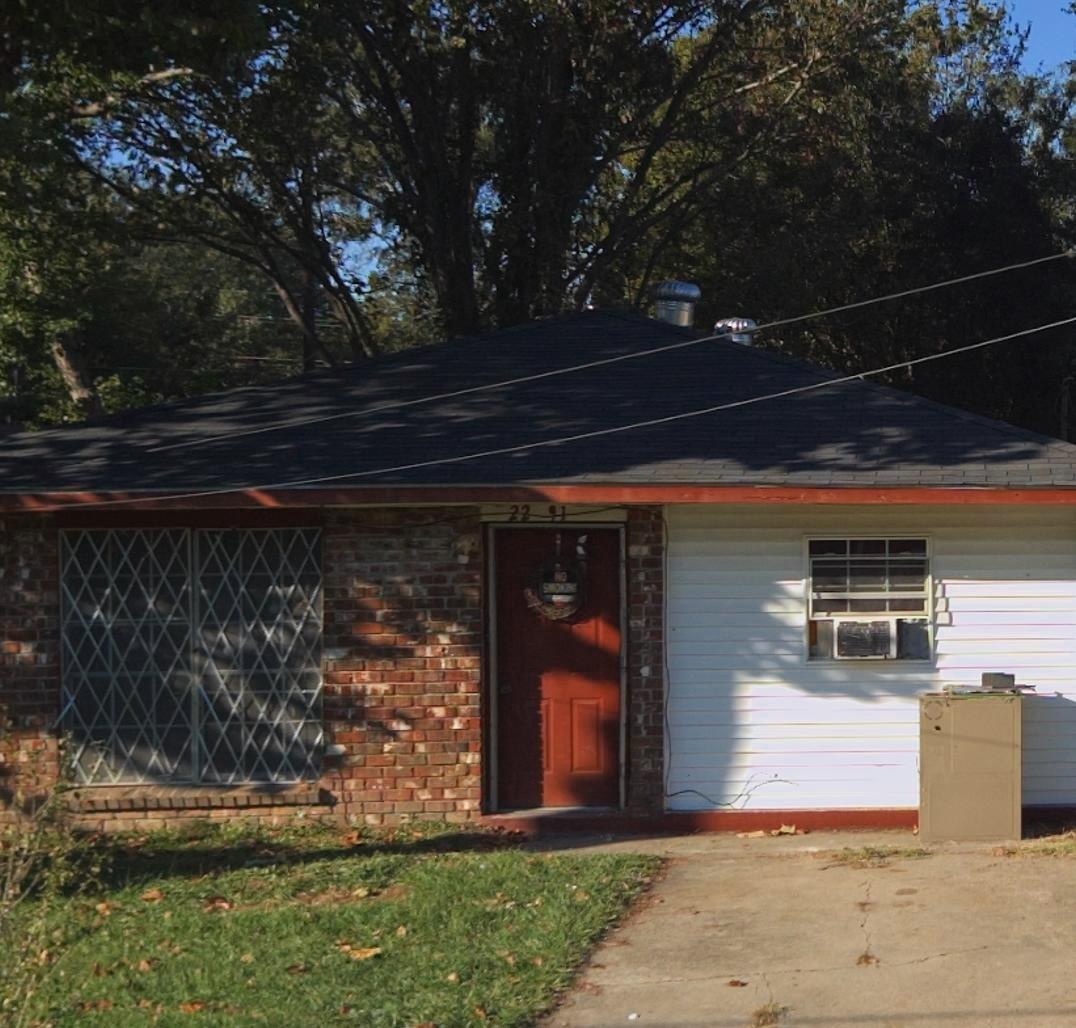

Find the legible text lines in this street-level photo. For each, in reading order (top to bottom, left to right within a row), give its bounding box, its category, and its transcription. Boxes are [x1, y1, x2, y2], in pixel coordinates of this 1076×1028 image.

[507, 504, 568, 523] StreetNumber: 22 91
[552, 570, 568, 582] None: NO
[542, 582, 578, 593] None: SMOKING